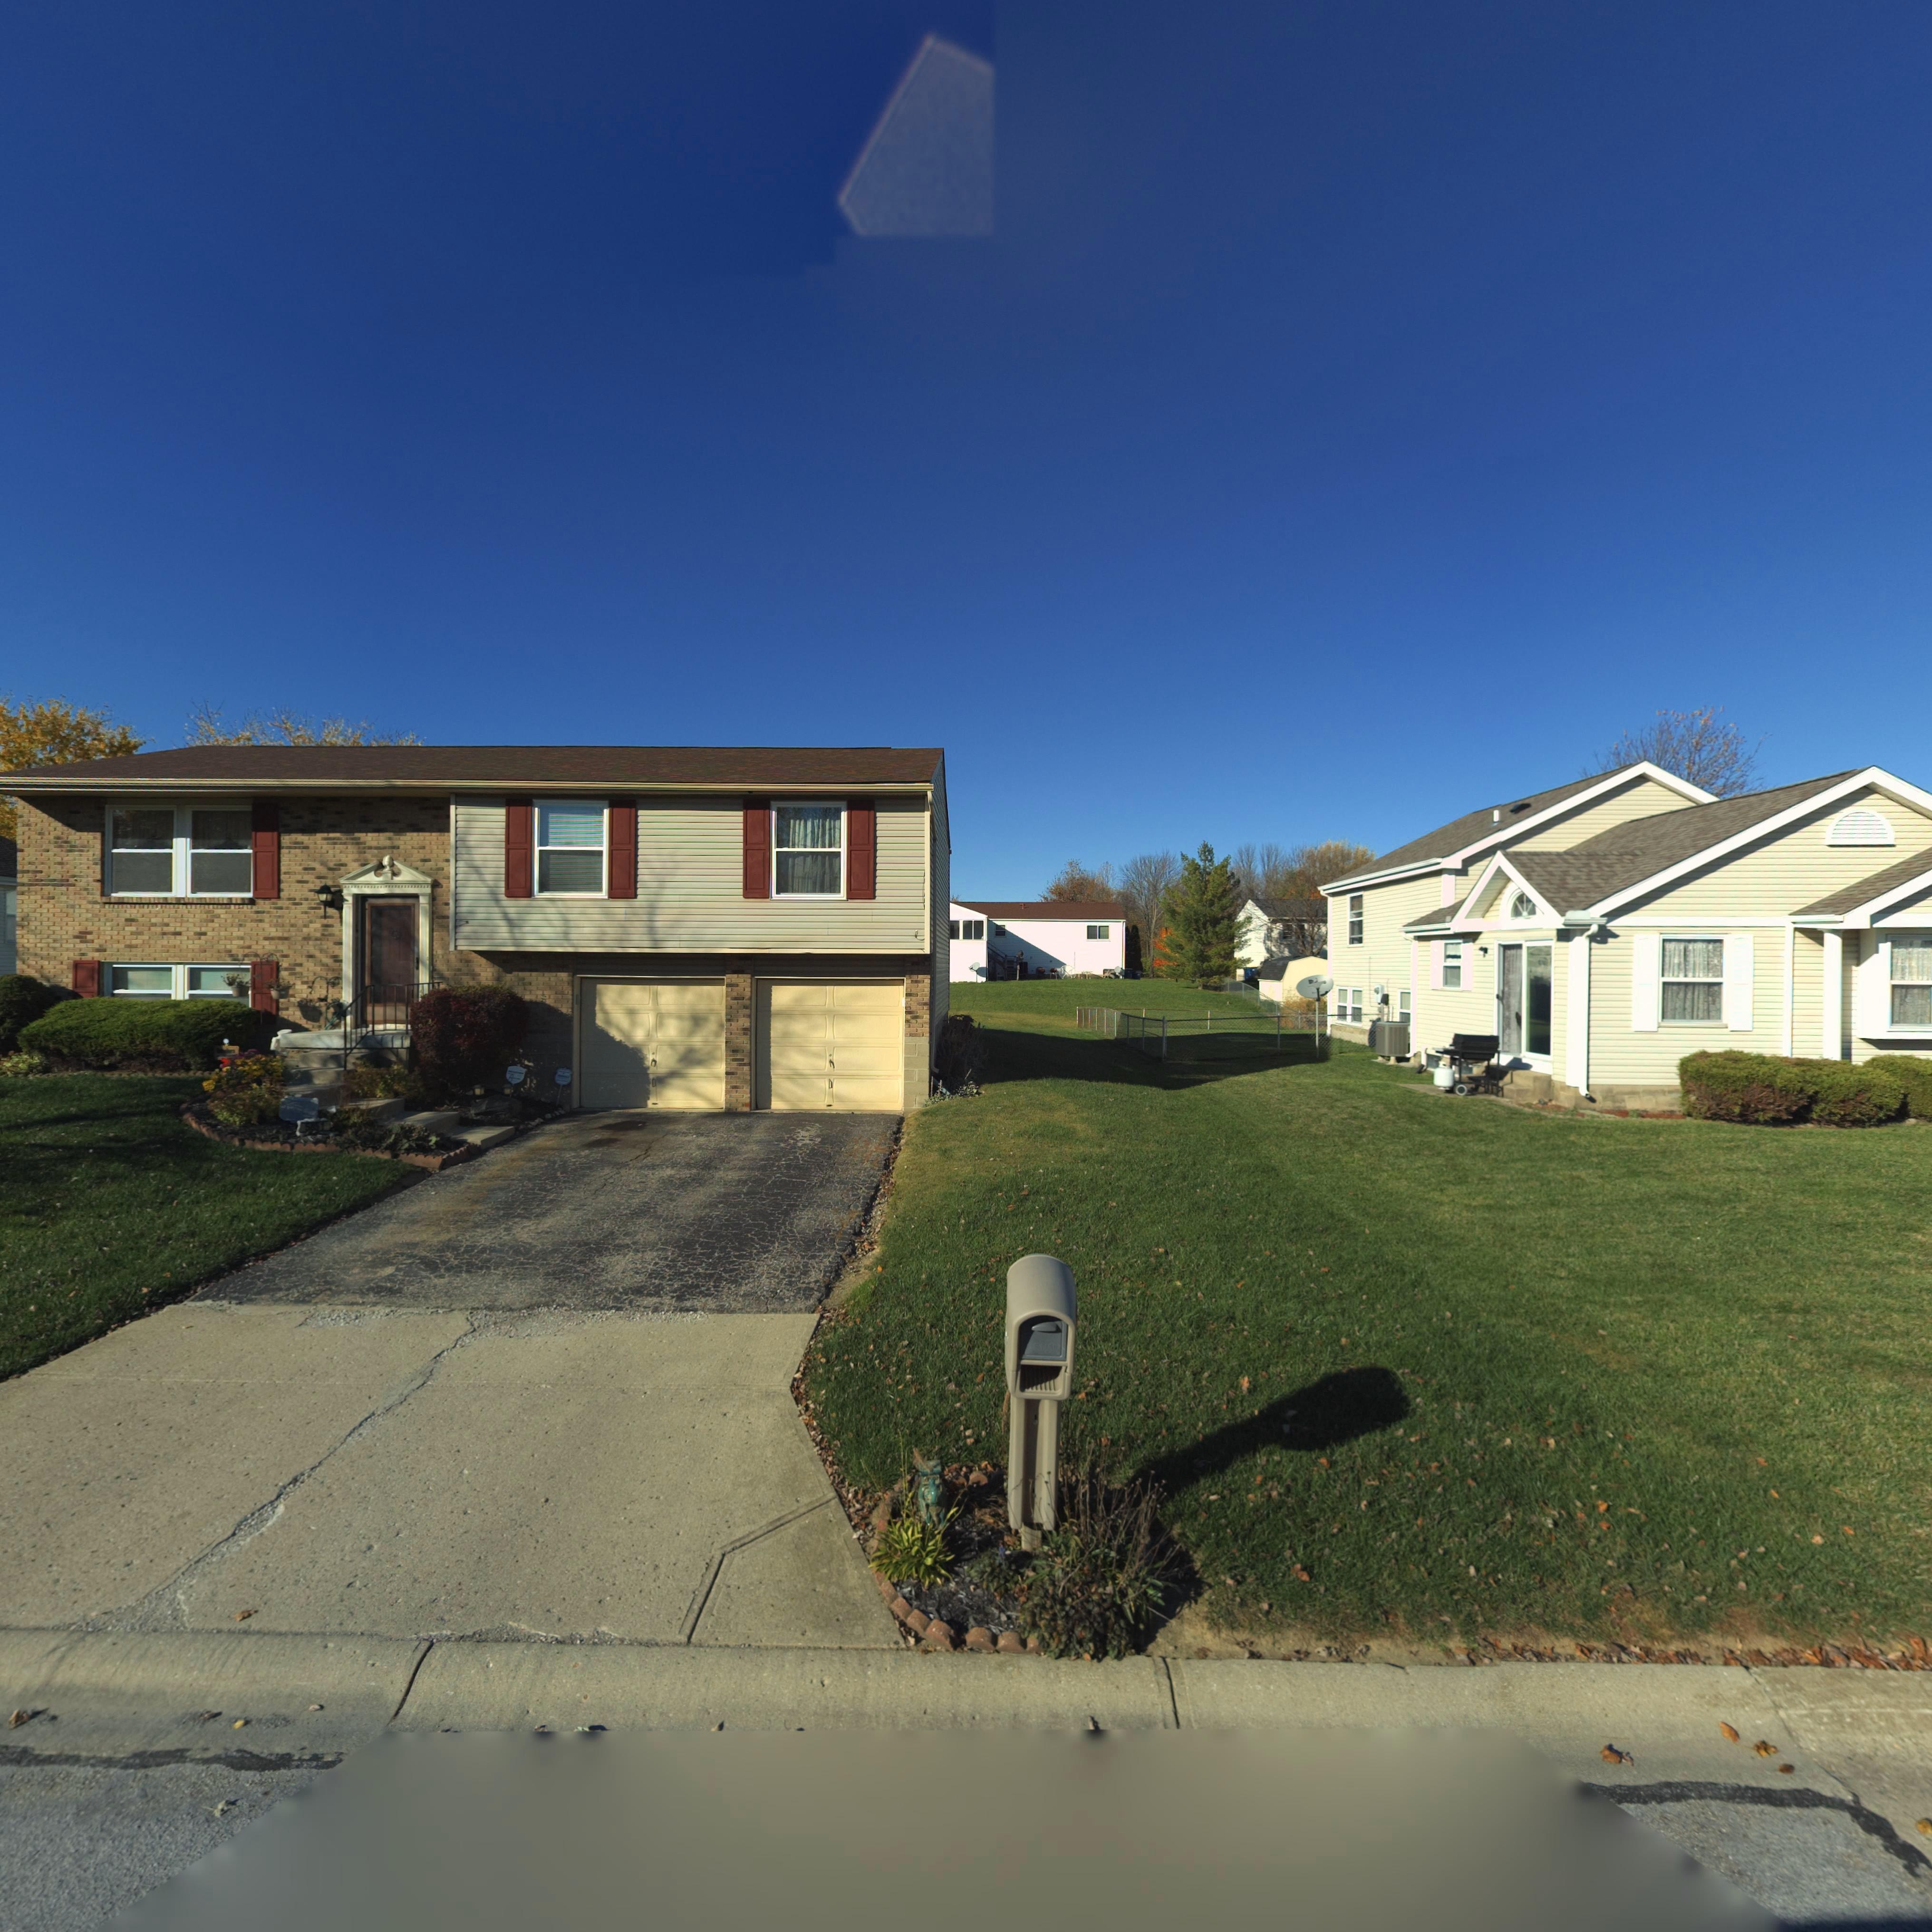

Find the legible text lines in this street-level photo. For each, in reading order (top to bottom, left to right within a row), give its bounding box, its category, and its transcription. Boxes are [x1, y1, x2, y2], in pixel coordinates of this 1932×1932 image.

[304, 1121, 325, 1133] StreetNumber: 5**1